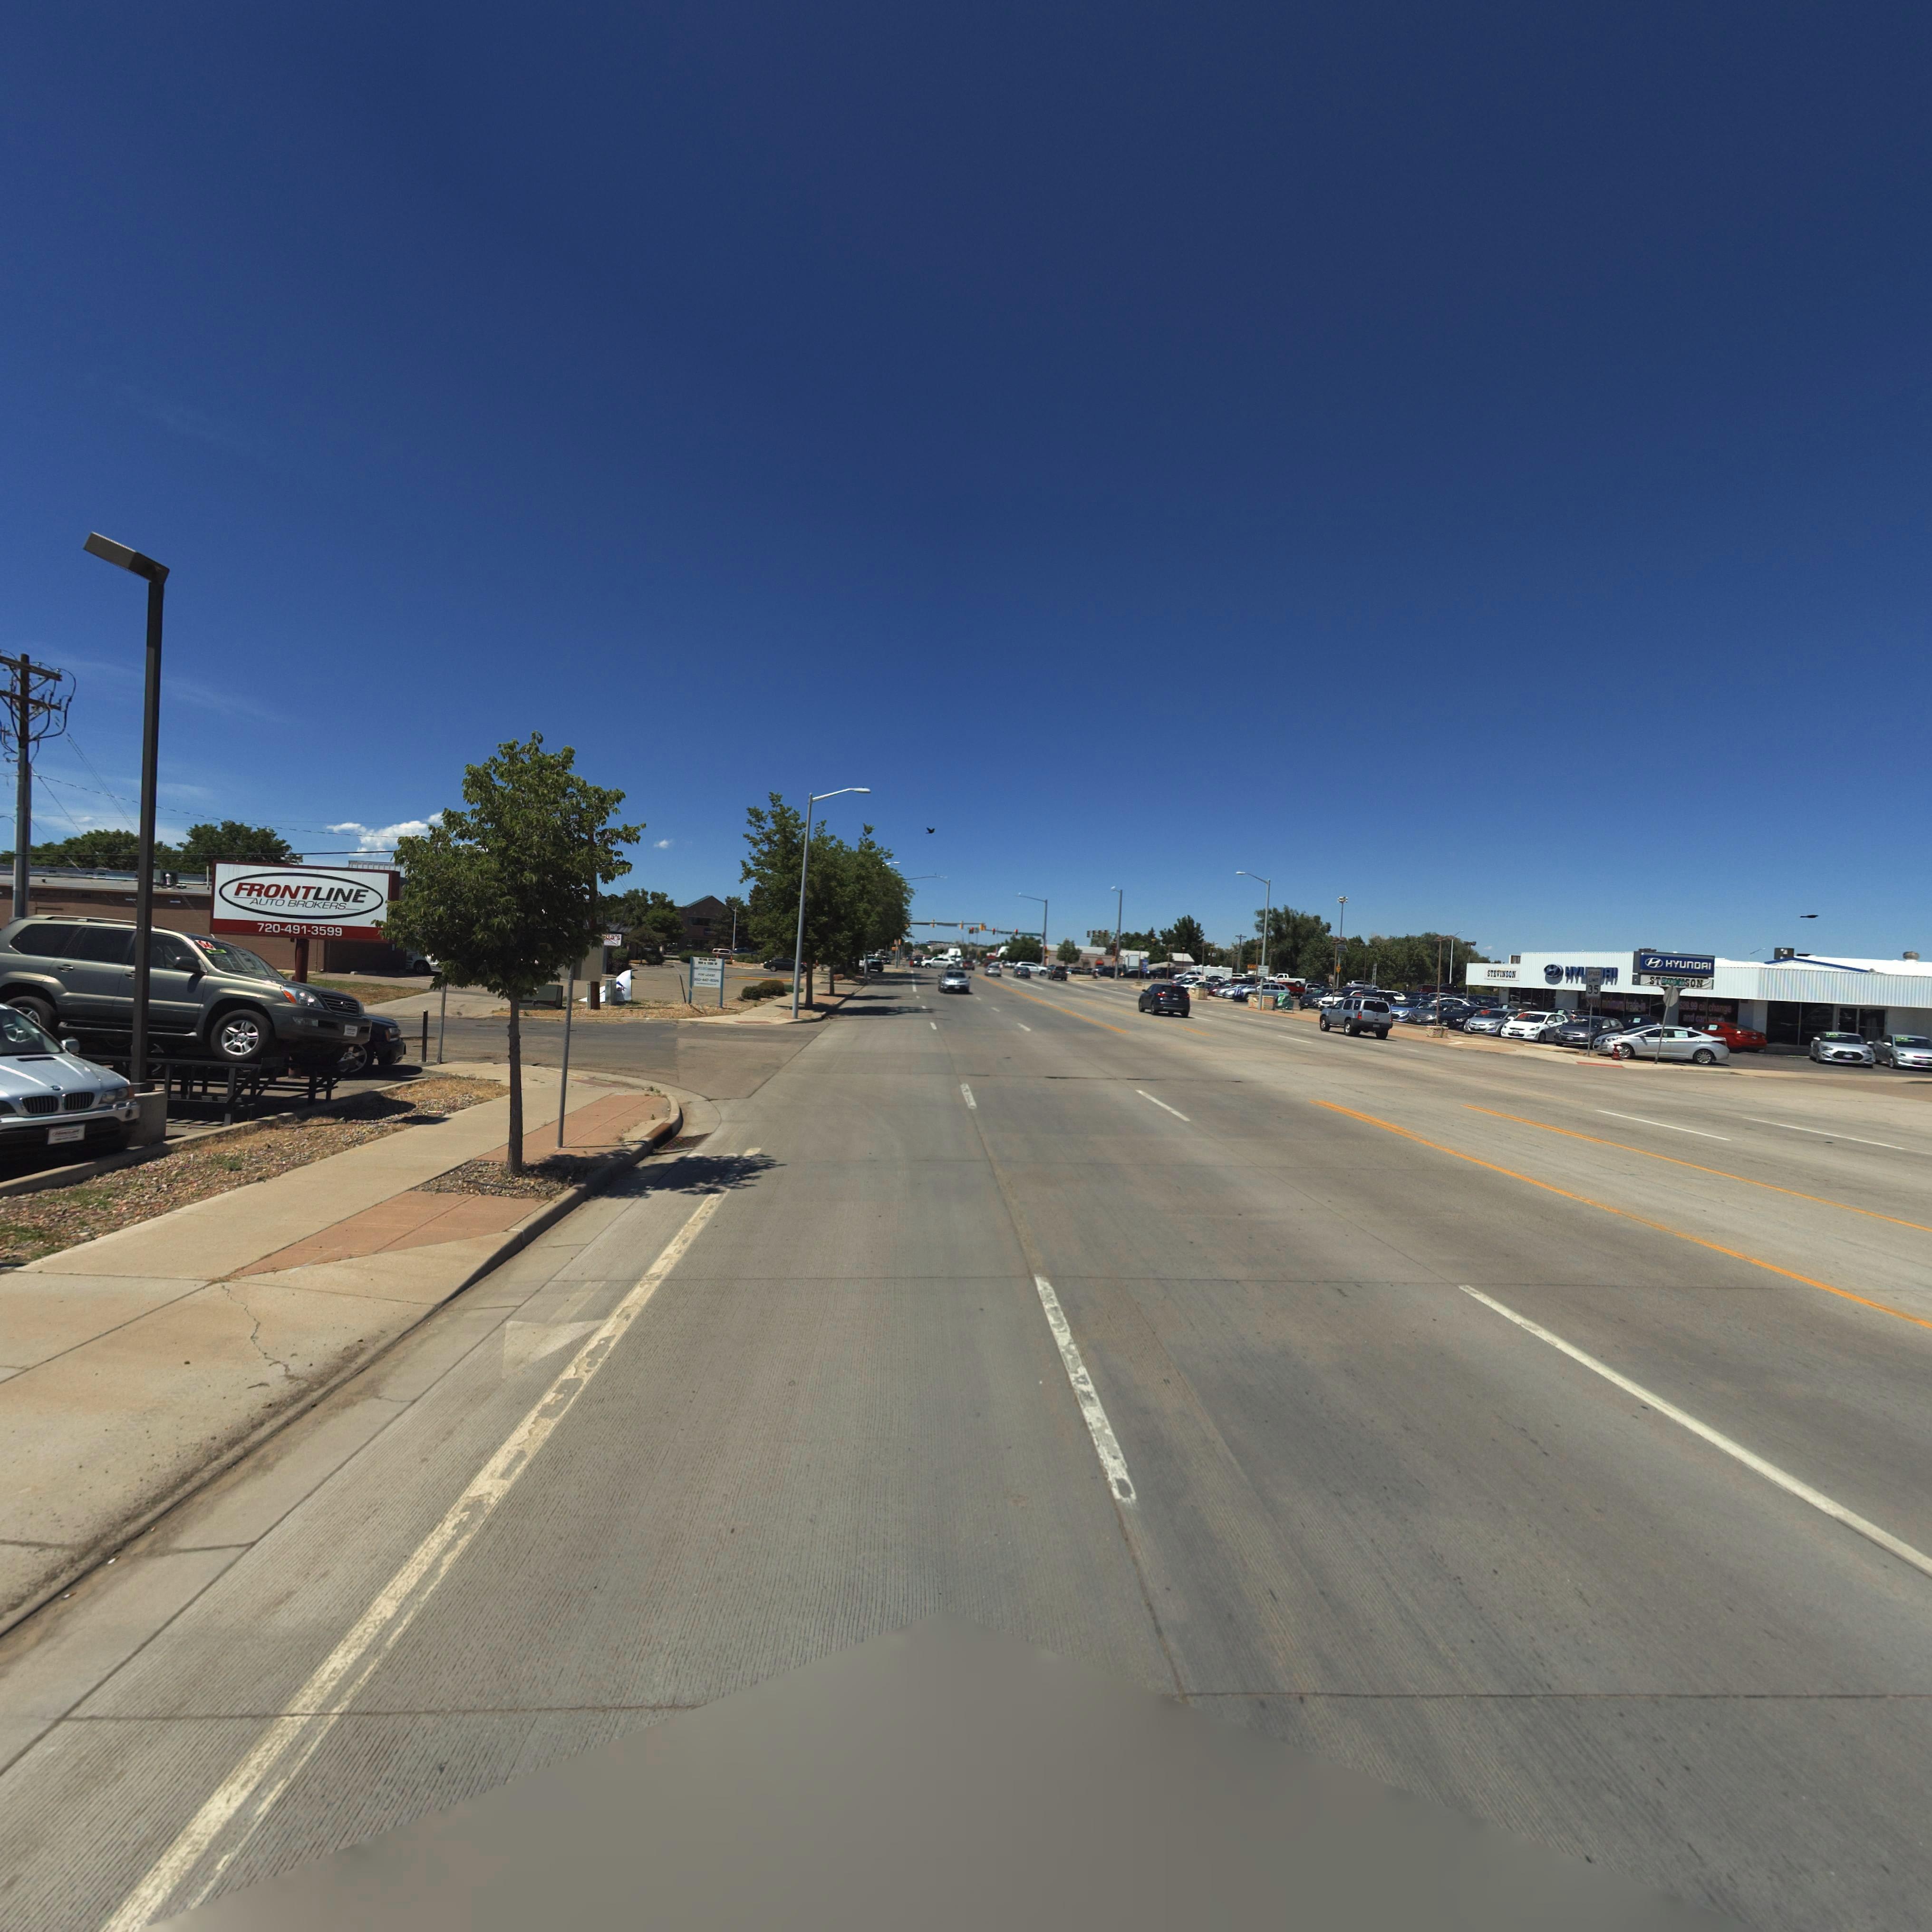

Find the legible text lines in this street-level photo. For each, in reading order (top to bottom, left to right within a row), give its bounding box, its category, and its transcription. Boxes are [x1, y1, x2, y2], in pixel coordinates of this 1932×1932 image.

[233, 881, 369, 903] BusinessName: FRONTLINE
[248, 898, 348, 910] BusinessName: AUTO BROKERS
[604, 933, 620, 940] BusinessName: lla's
[1665, 959, 1712, 970] BusinessName: HYUnDAI
[1487, 969, 1516, 978] BusinessName: STEVINSON
[1565, 966, 1617, 978] BusinessName: HYU***AI
[1661, 978, 1684, 985] StreetName: G****D A*
[1649, 976, 1703, 987] BusinessName: ST****SON